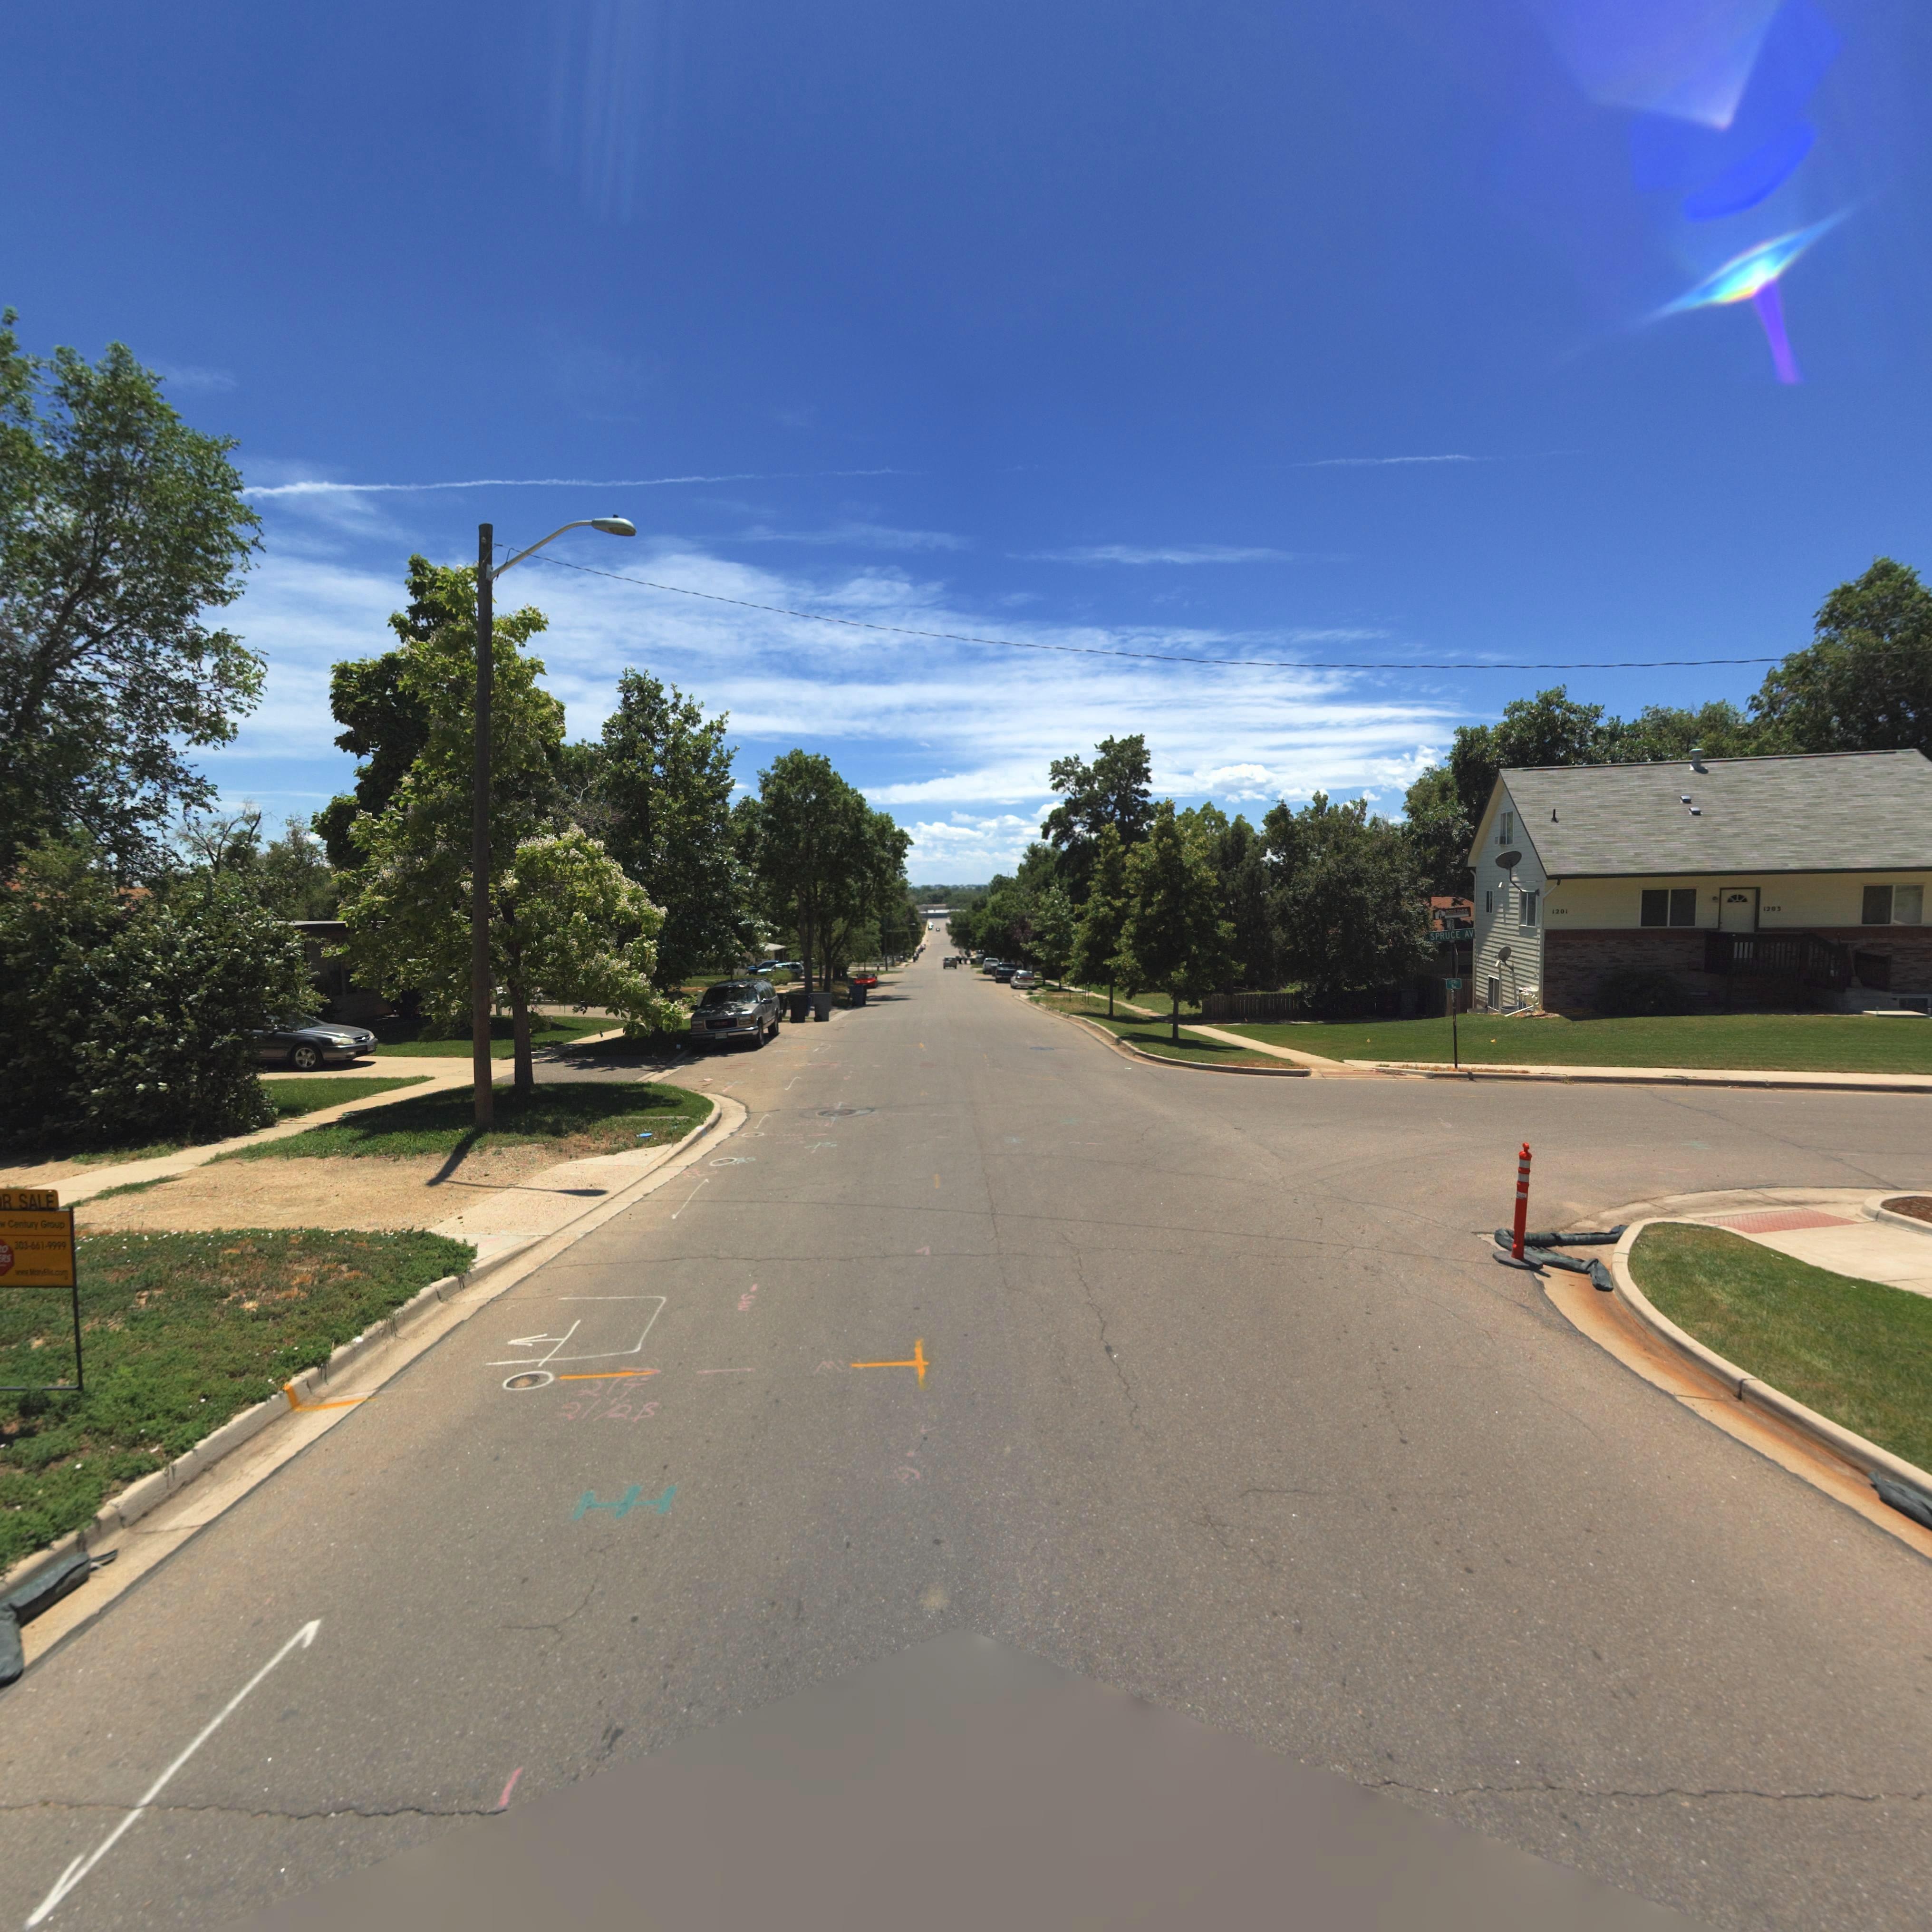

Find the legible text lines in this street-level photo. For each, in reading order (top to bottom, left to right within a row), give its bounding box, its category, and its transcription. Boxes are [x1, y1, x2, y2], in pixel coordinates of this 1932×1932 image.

[1552, 908, 1568, 914] StreetNumber: 1201
[1763, 906, 1781, 912] StreetNumber: 1203
[1430, 929, 1473, 940] StreetName: SPRUCE AV